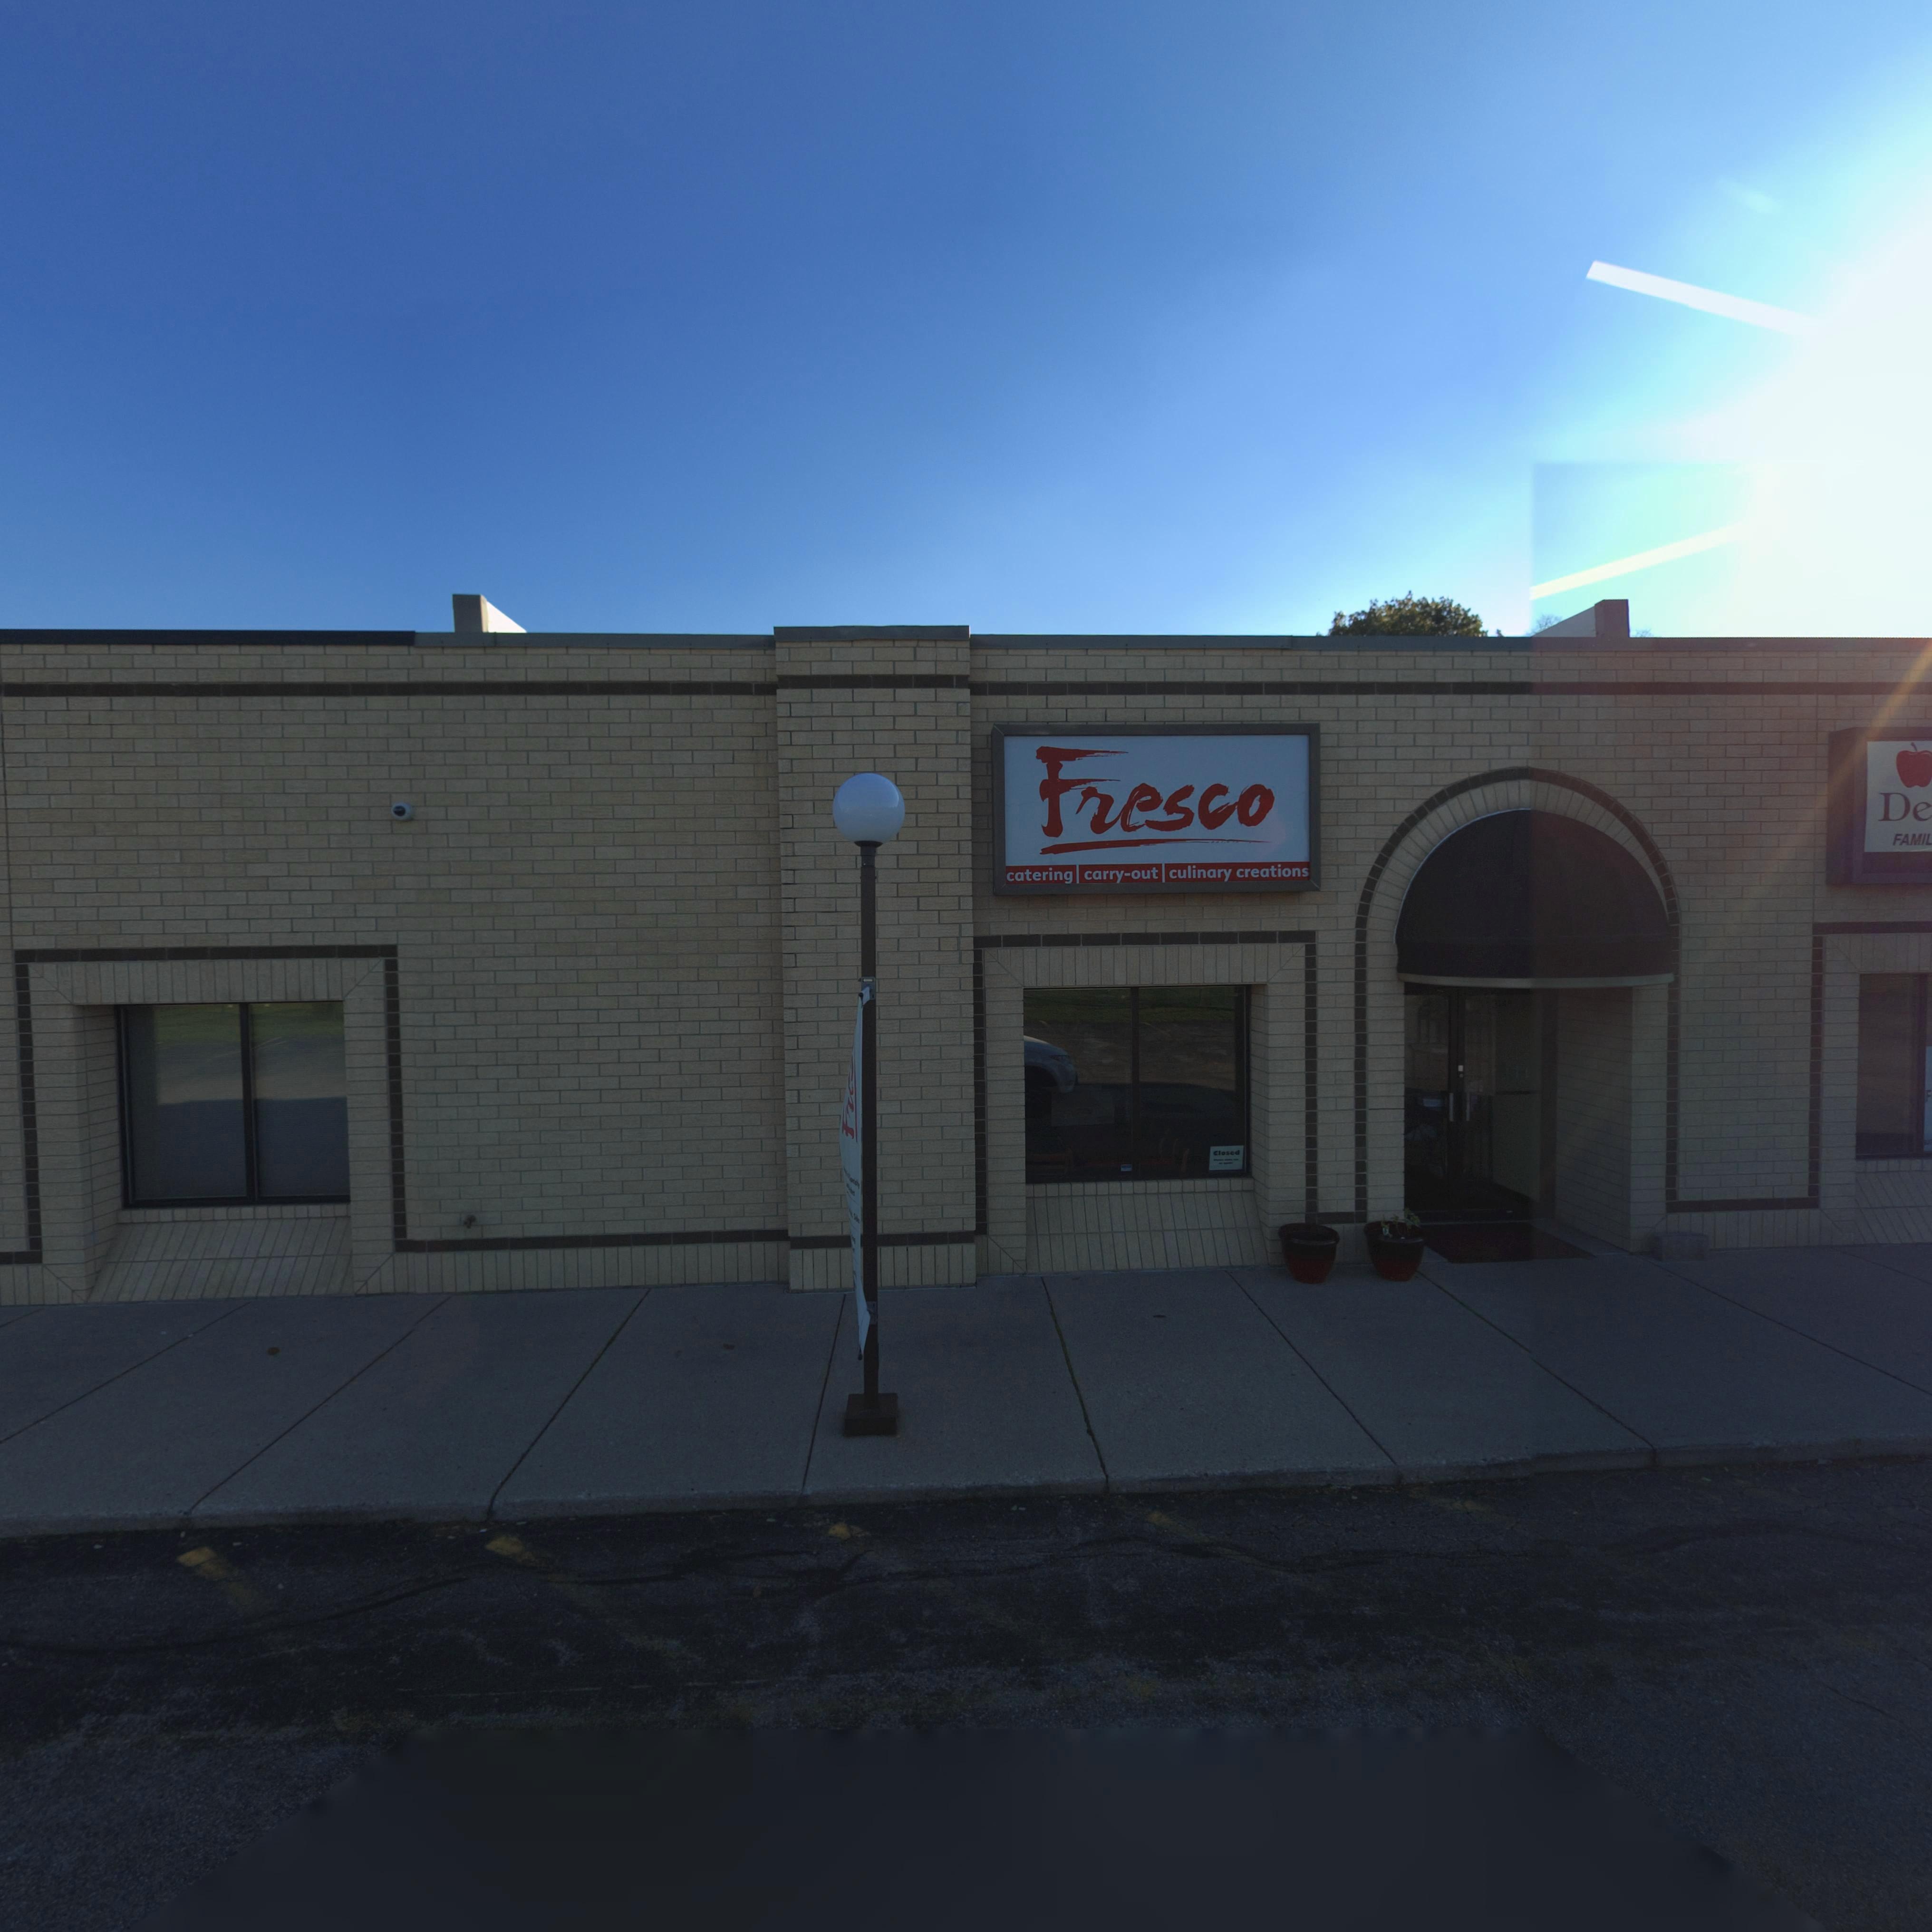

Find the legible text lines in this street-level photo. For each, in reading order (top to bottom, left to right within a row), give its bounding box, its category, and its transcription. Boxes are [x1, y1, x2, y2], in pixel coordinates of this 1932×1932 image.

[1033, 743, 1278, 840] BusinessName: Fresco
[1876, 792, 1932, 822] BusinessName: De
[1493, 999, 1513, 1008] StreetNumber: 314*